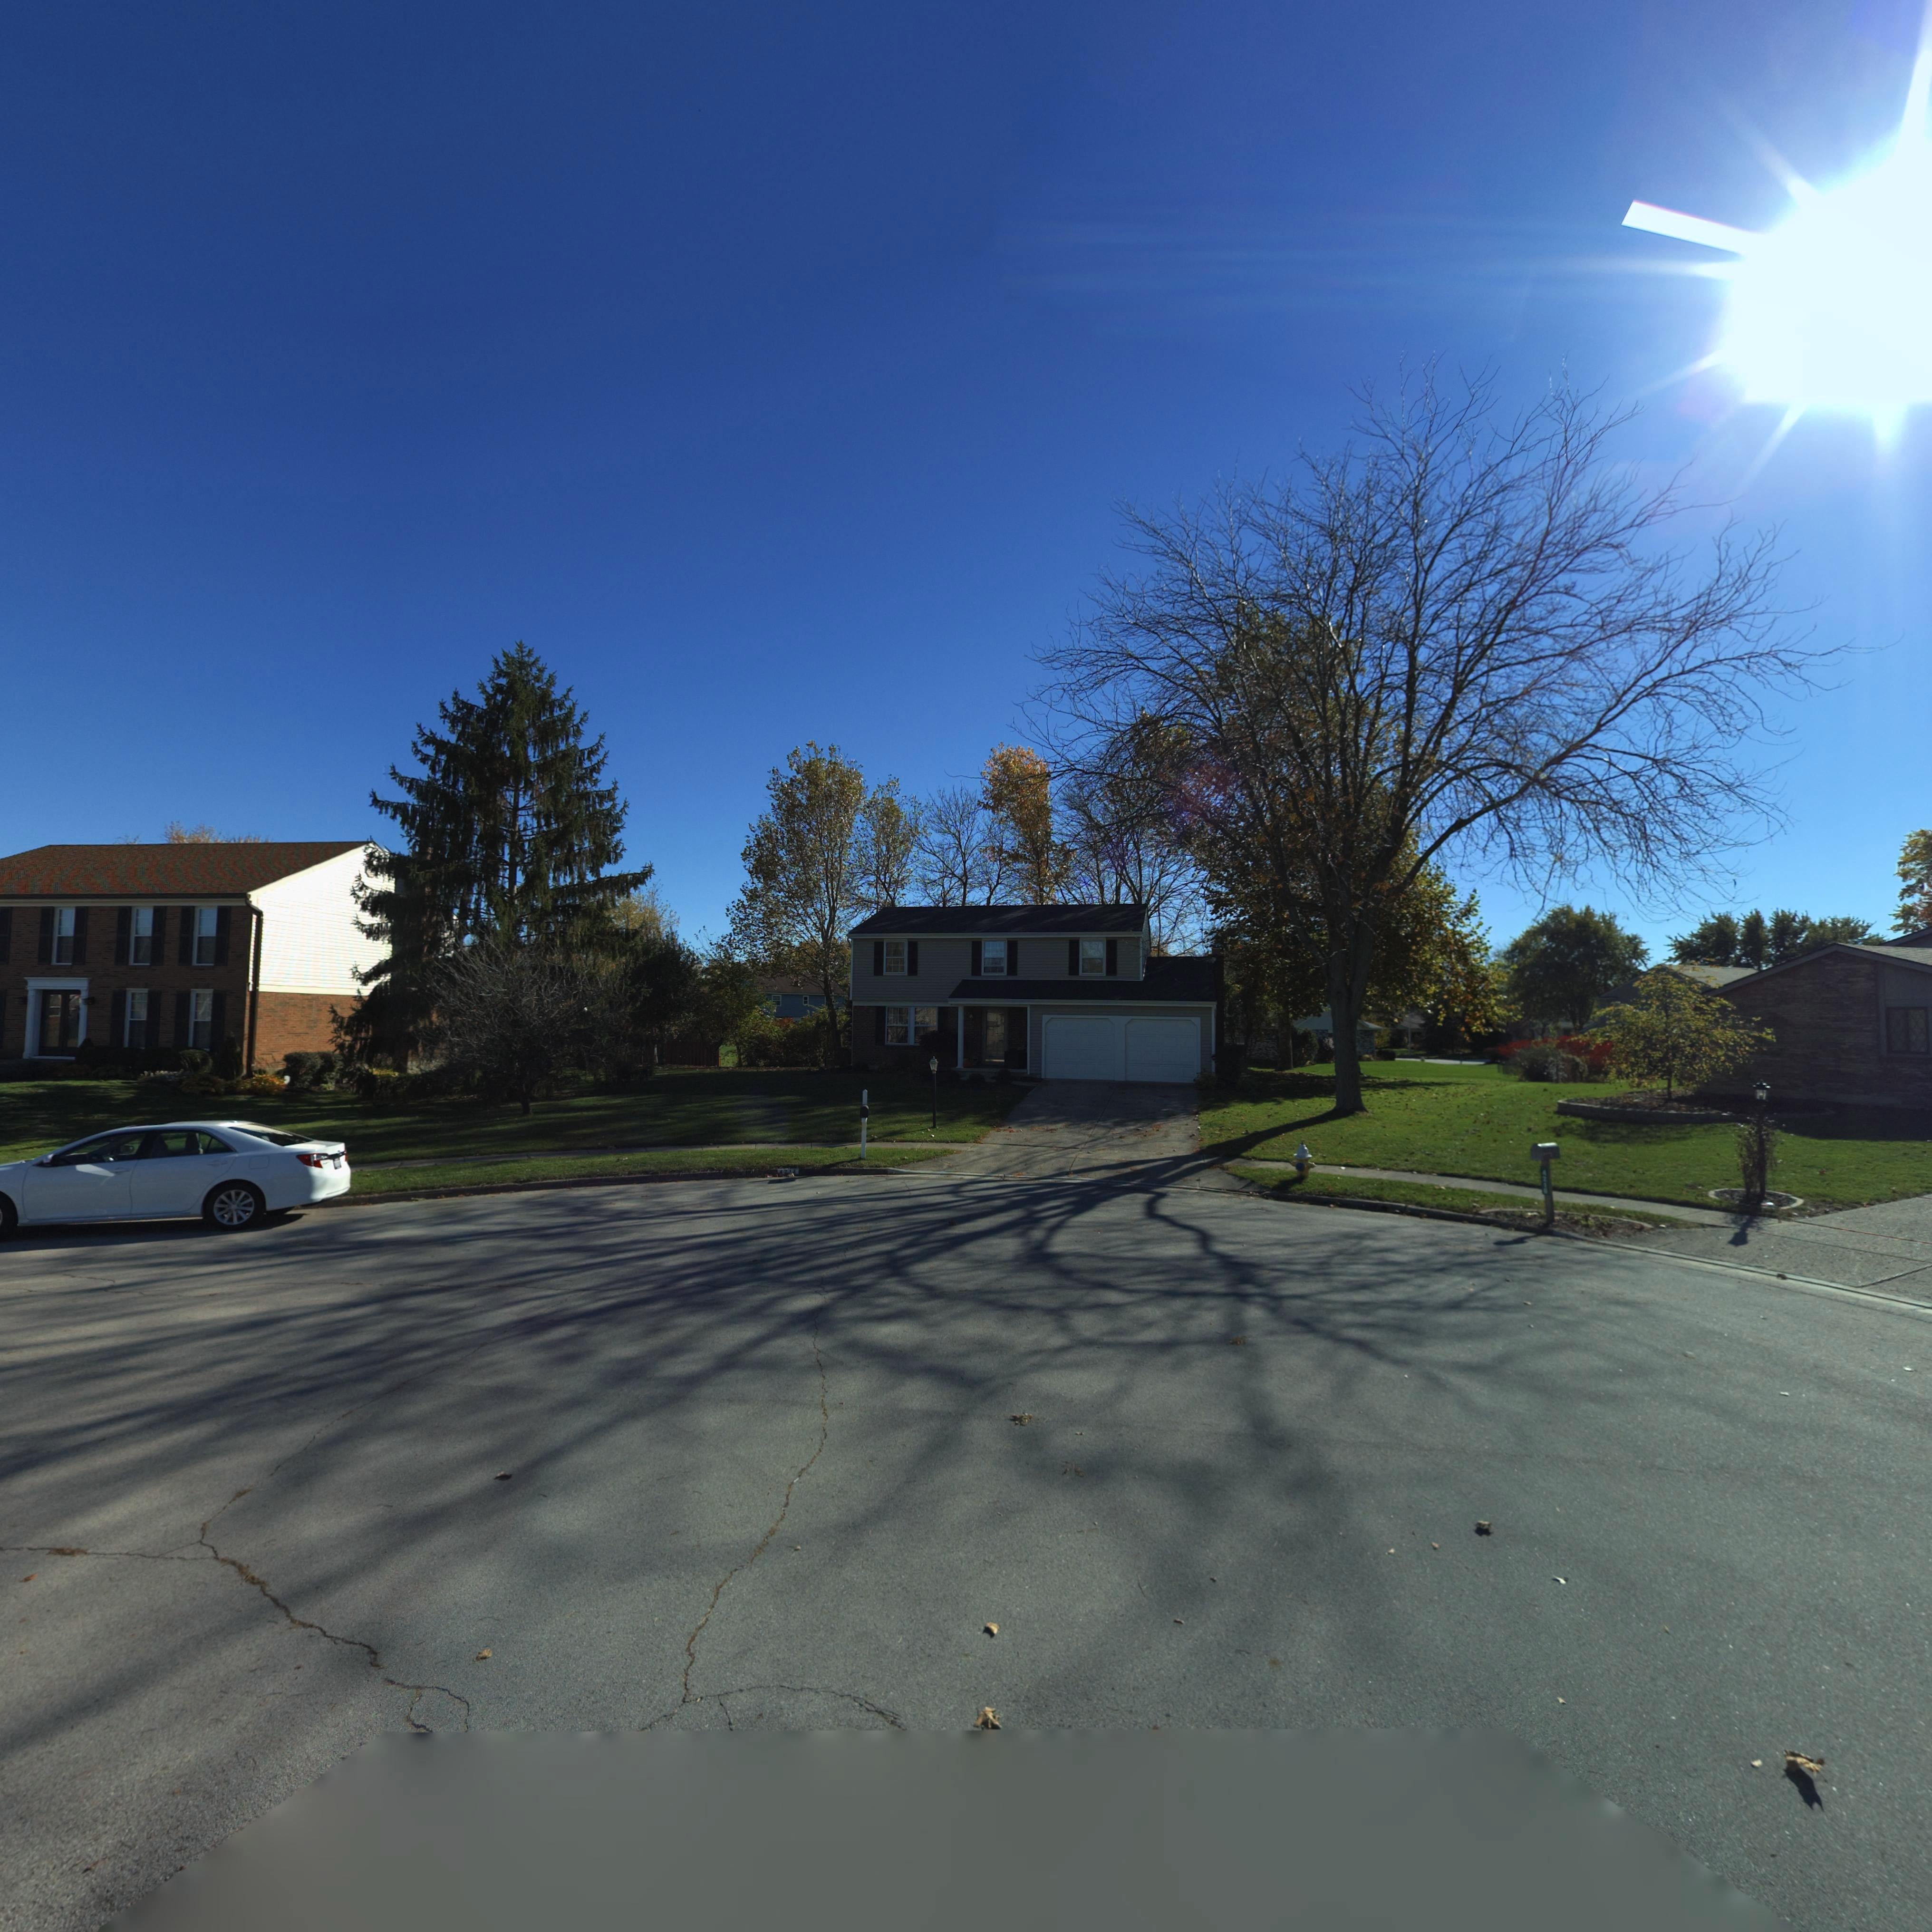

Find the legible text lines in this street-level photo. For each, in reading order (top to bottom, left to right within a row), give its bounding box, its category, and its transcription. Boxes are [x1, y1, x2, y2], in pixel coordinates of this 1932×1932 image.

[778, 1169, 797, 1175] StreetNumber: 42**
[1541, 1169, 1550, 1196] StreetNumber: *2**